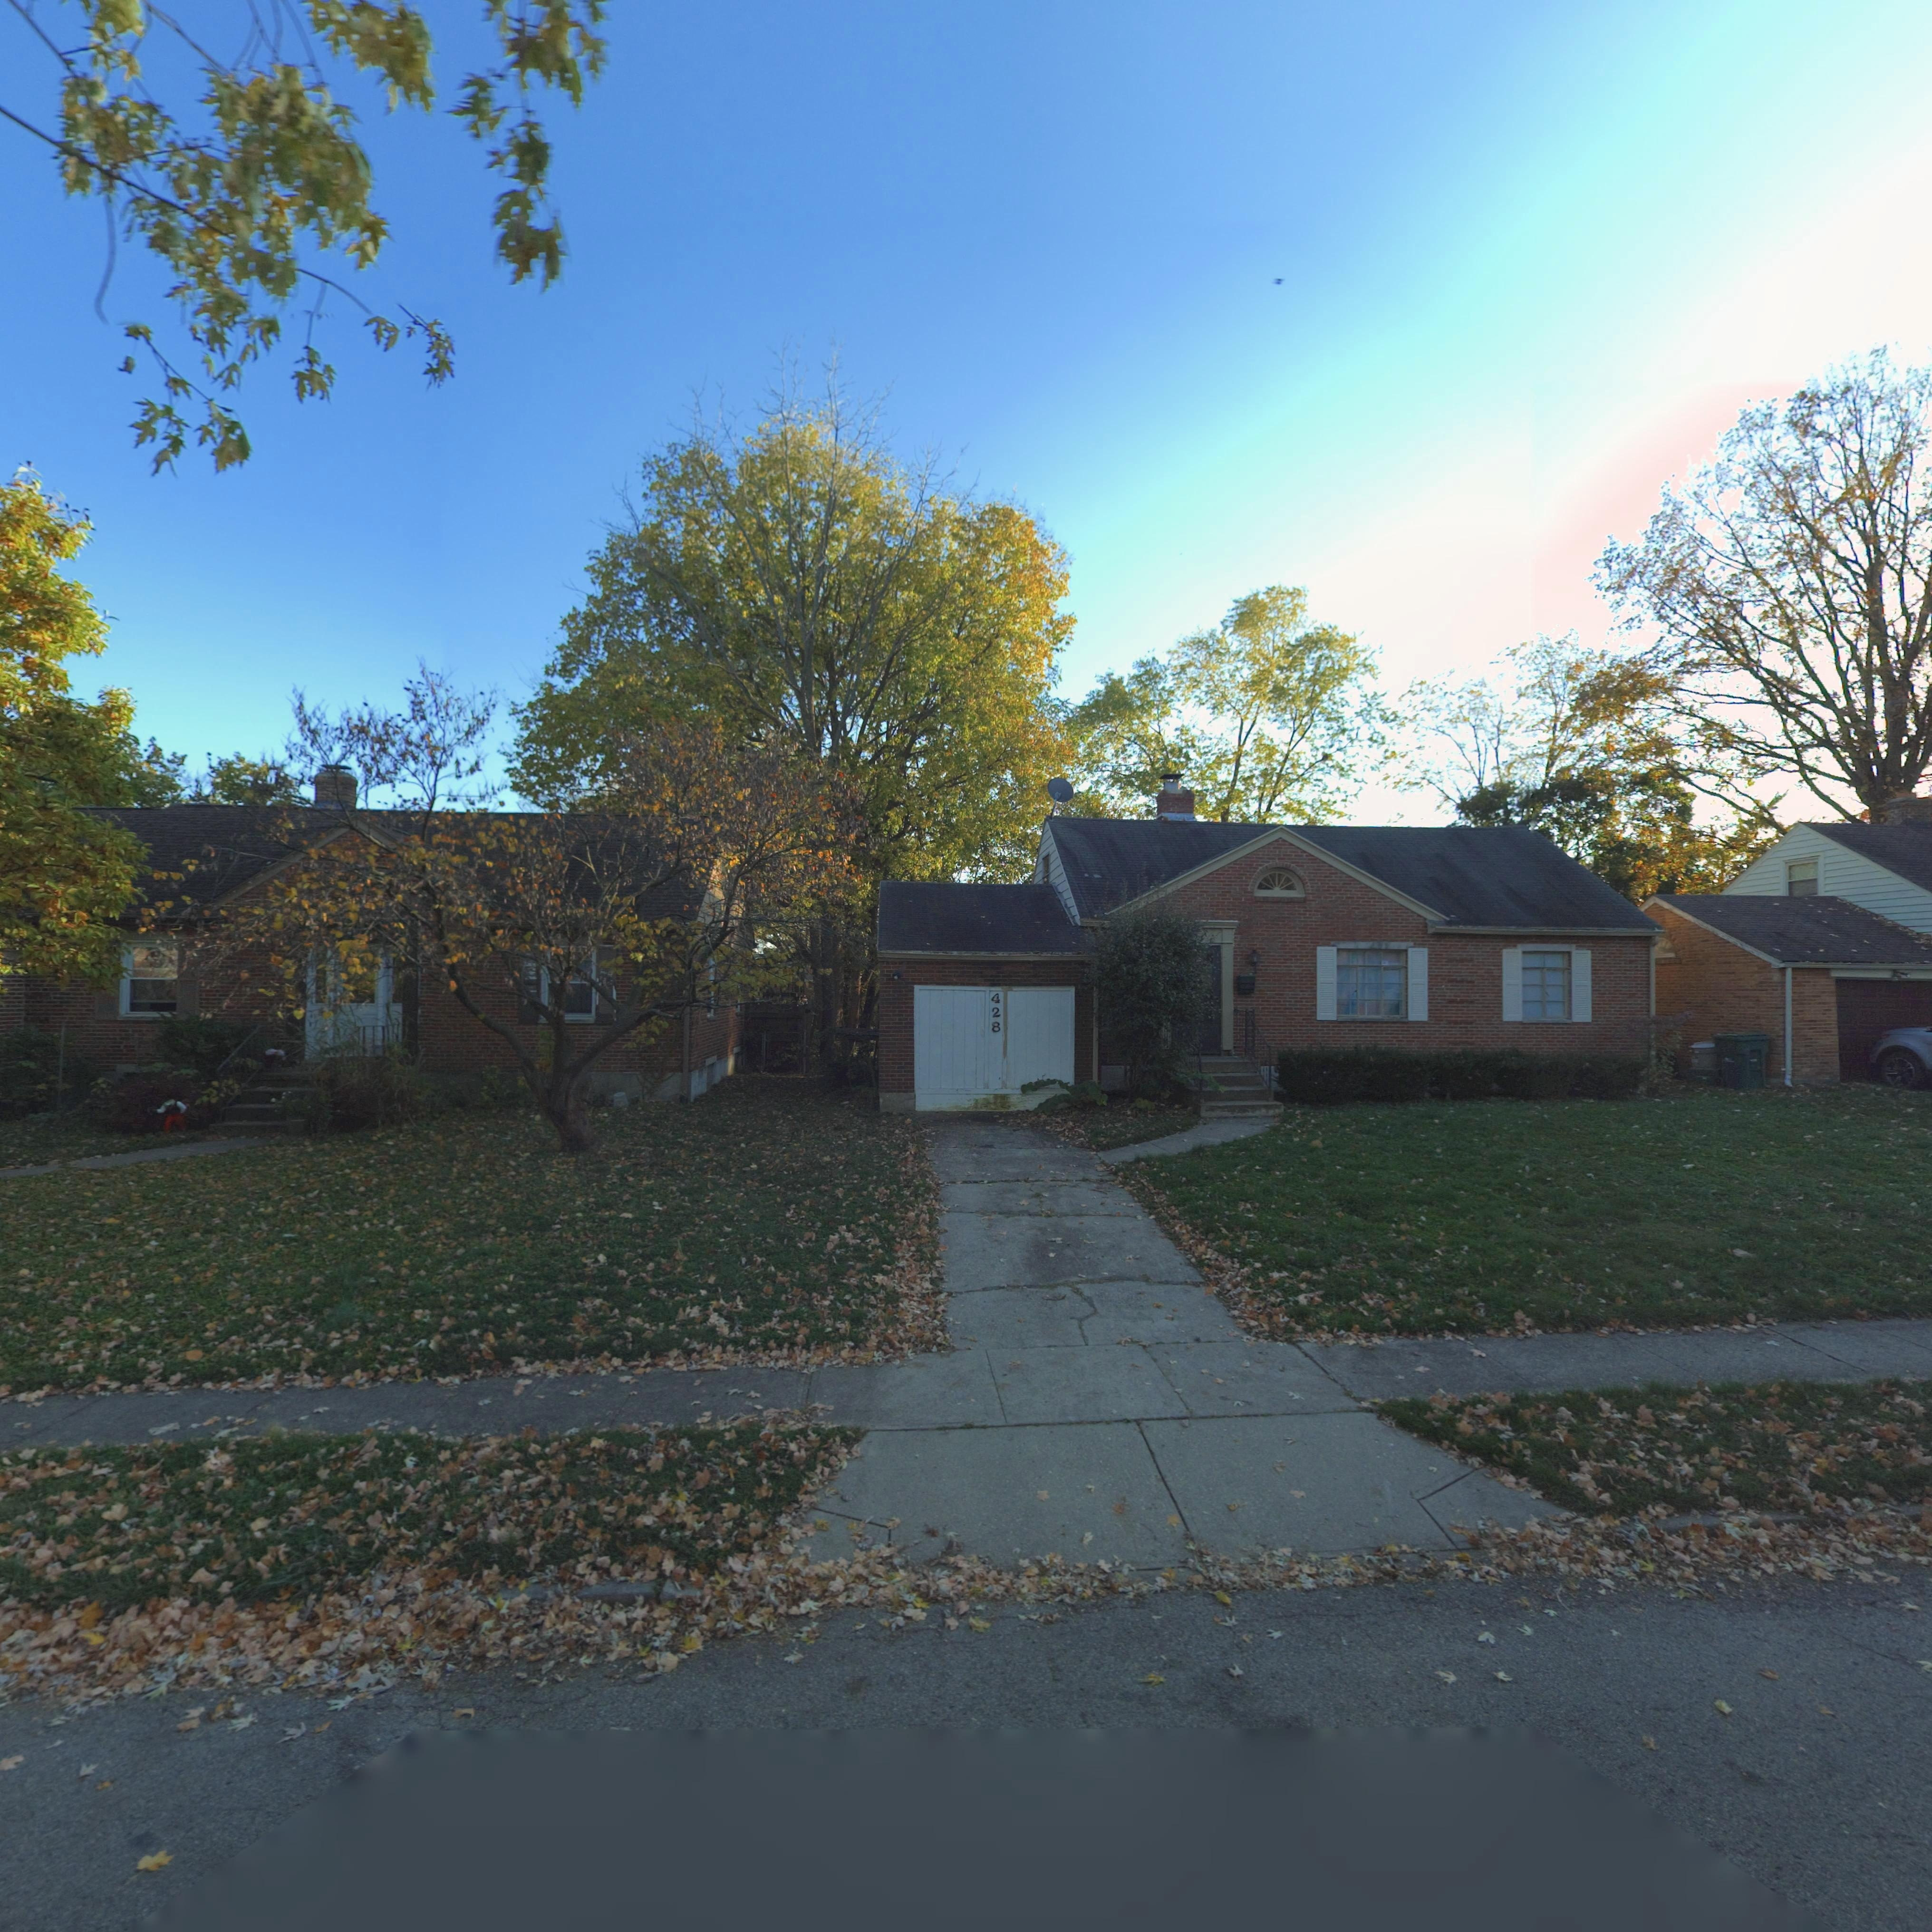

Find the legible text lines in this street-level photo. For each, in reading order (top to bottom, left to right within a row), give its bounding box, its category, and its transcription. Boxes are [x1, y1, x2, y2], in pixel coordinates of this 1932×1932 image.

[990, 991, 1002, 1034] StreetNumber: 428